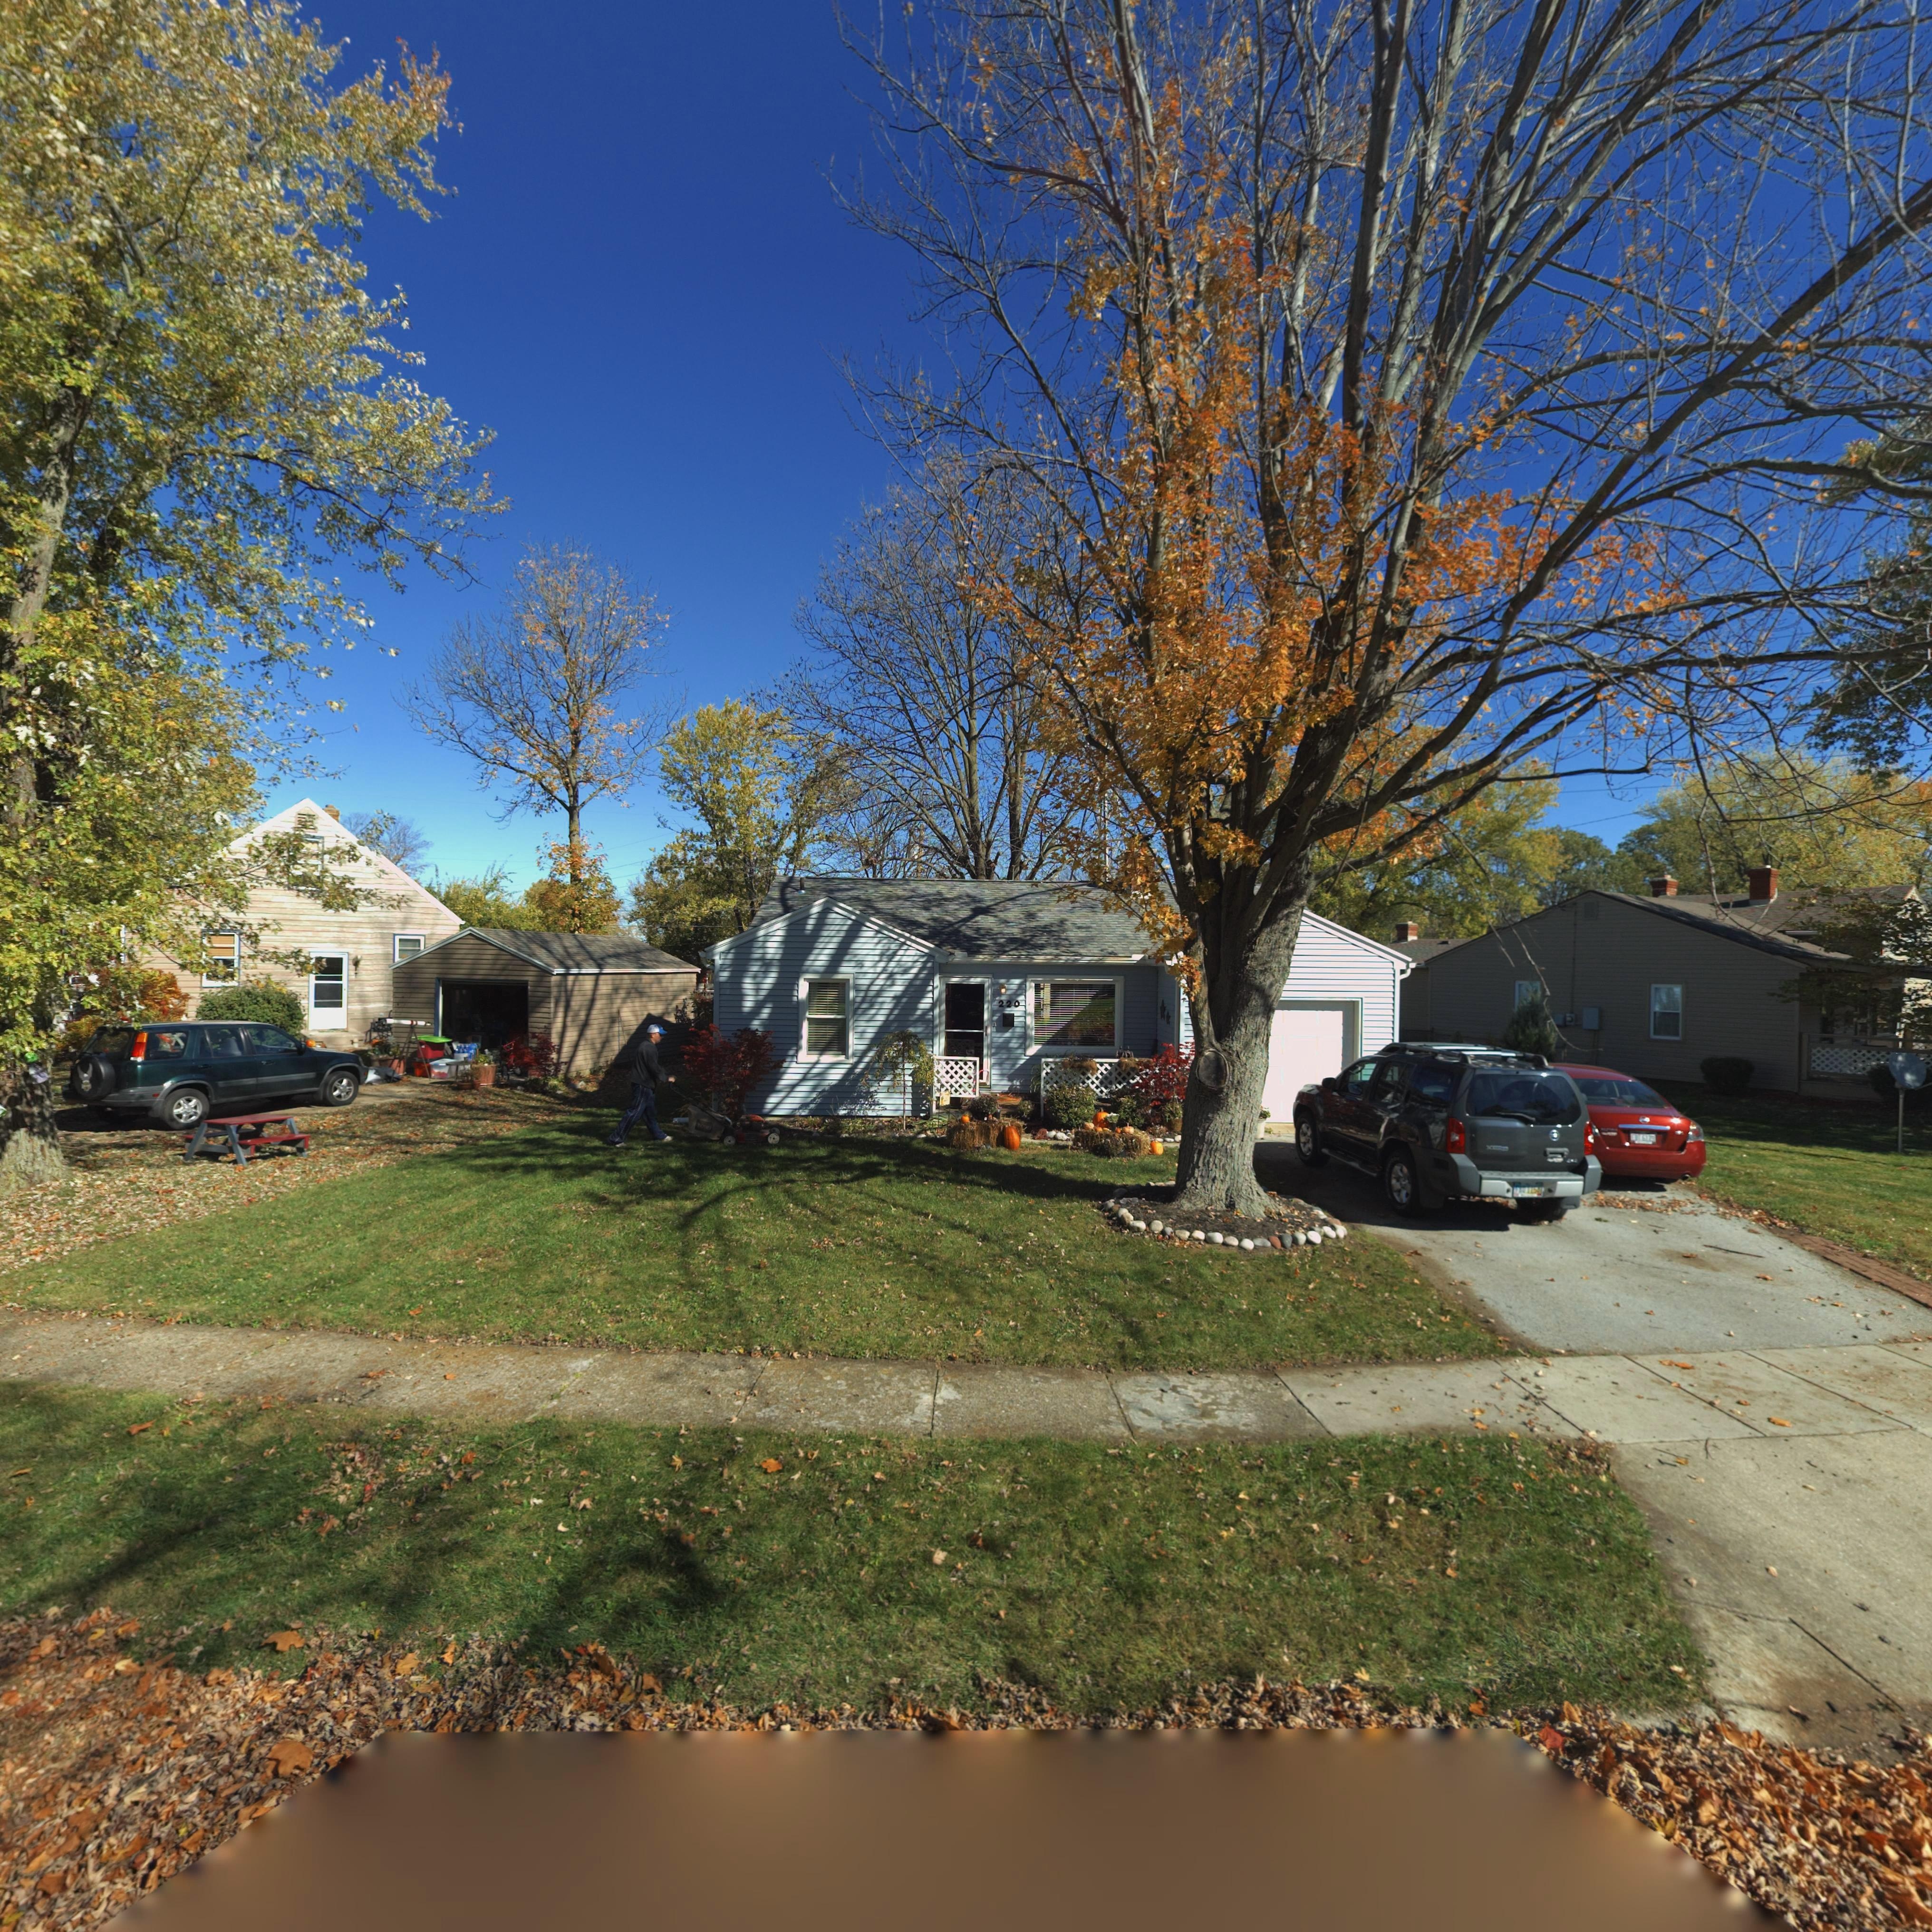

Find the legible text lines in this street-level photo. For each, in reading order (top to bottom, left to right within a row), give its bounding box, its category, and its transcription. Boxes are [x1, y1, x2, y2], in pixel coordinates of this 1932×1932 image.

[997, 999, 1021, 1008] StreetNumber: 220